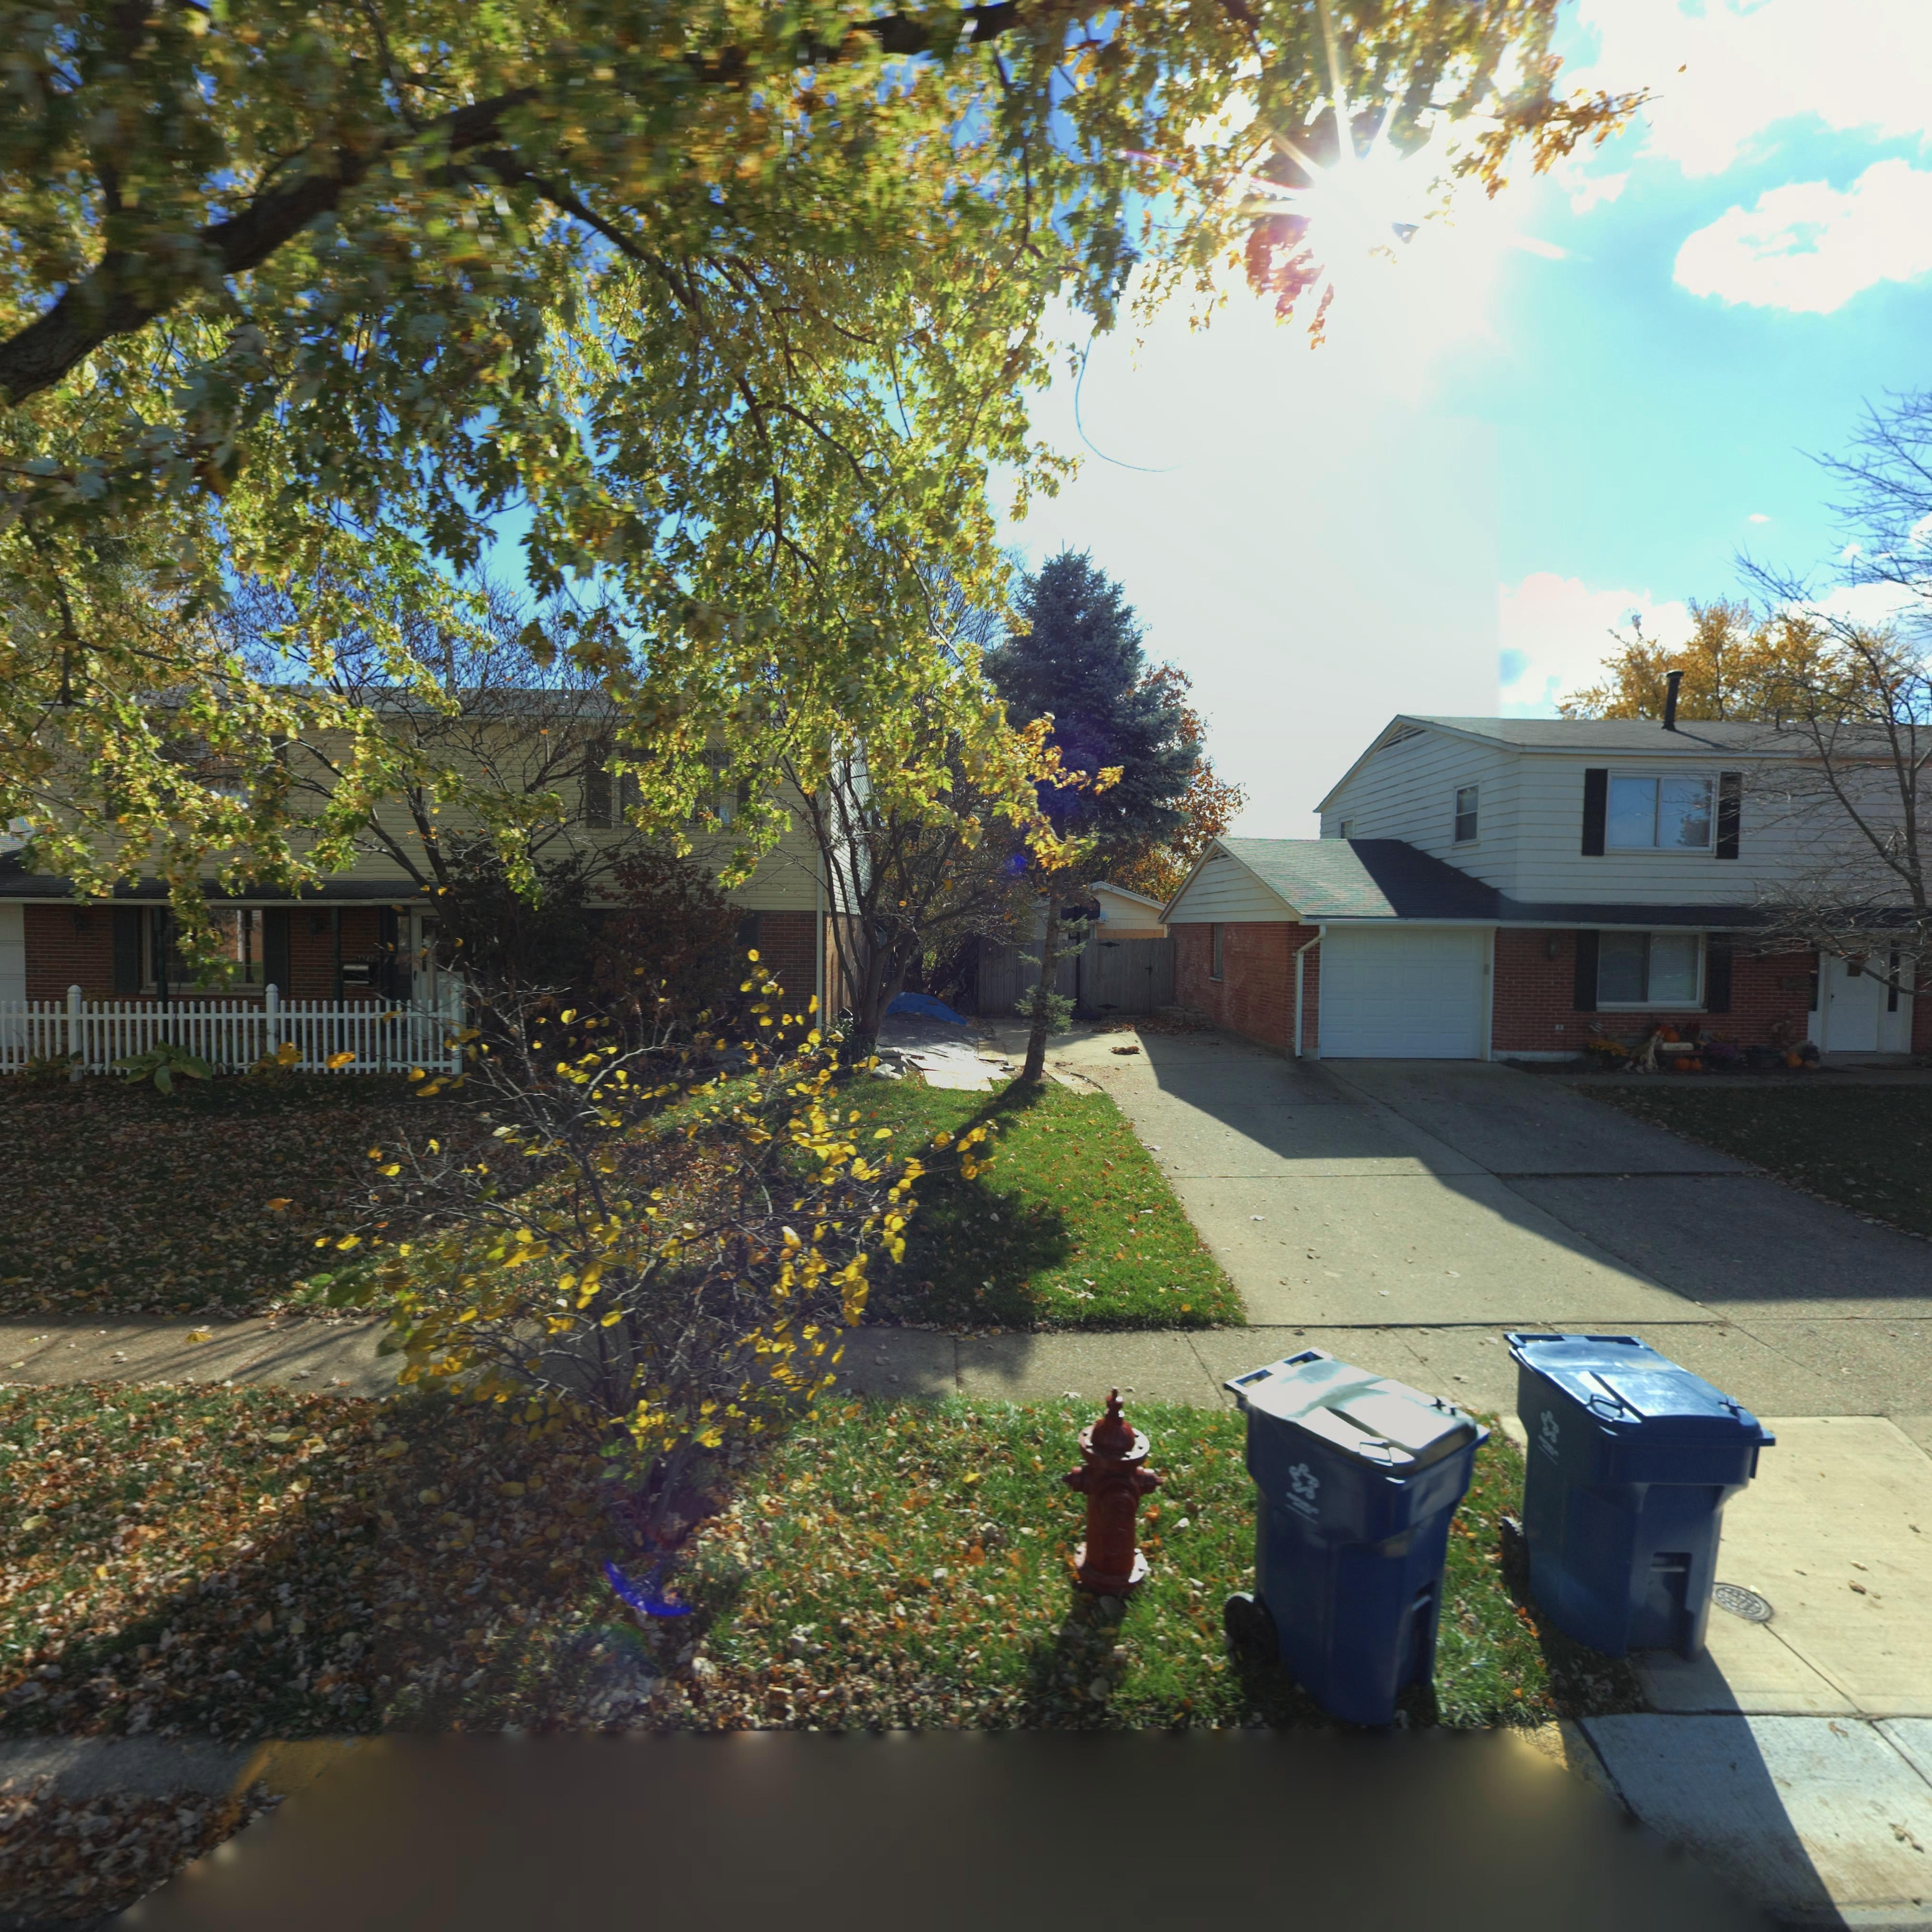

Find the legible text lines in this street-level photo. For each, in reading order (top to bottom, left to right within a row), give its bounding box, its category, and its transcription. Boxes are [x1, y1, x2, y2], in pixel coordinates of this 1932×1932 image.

[357, 956, 374, 963] StreetNumber: 7742